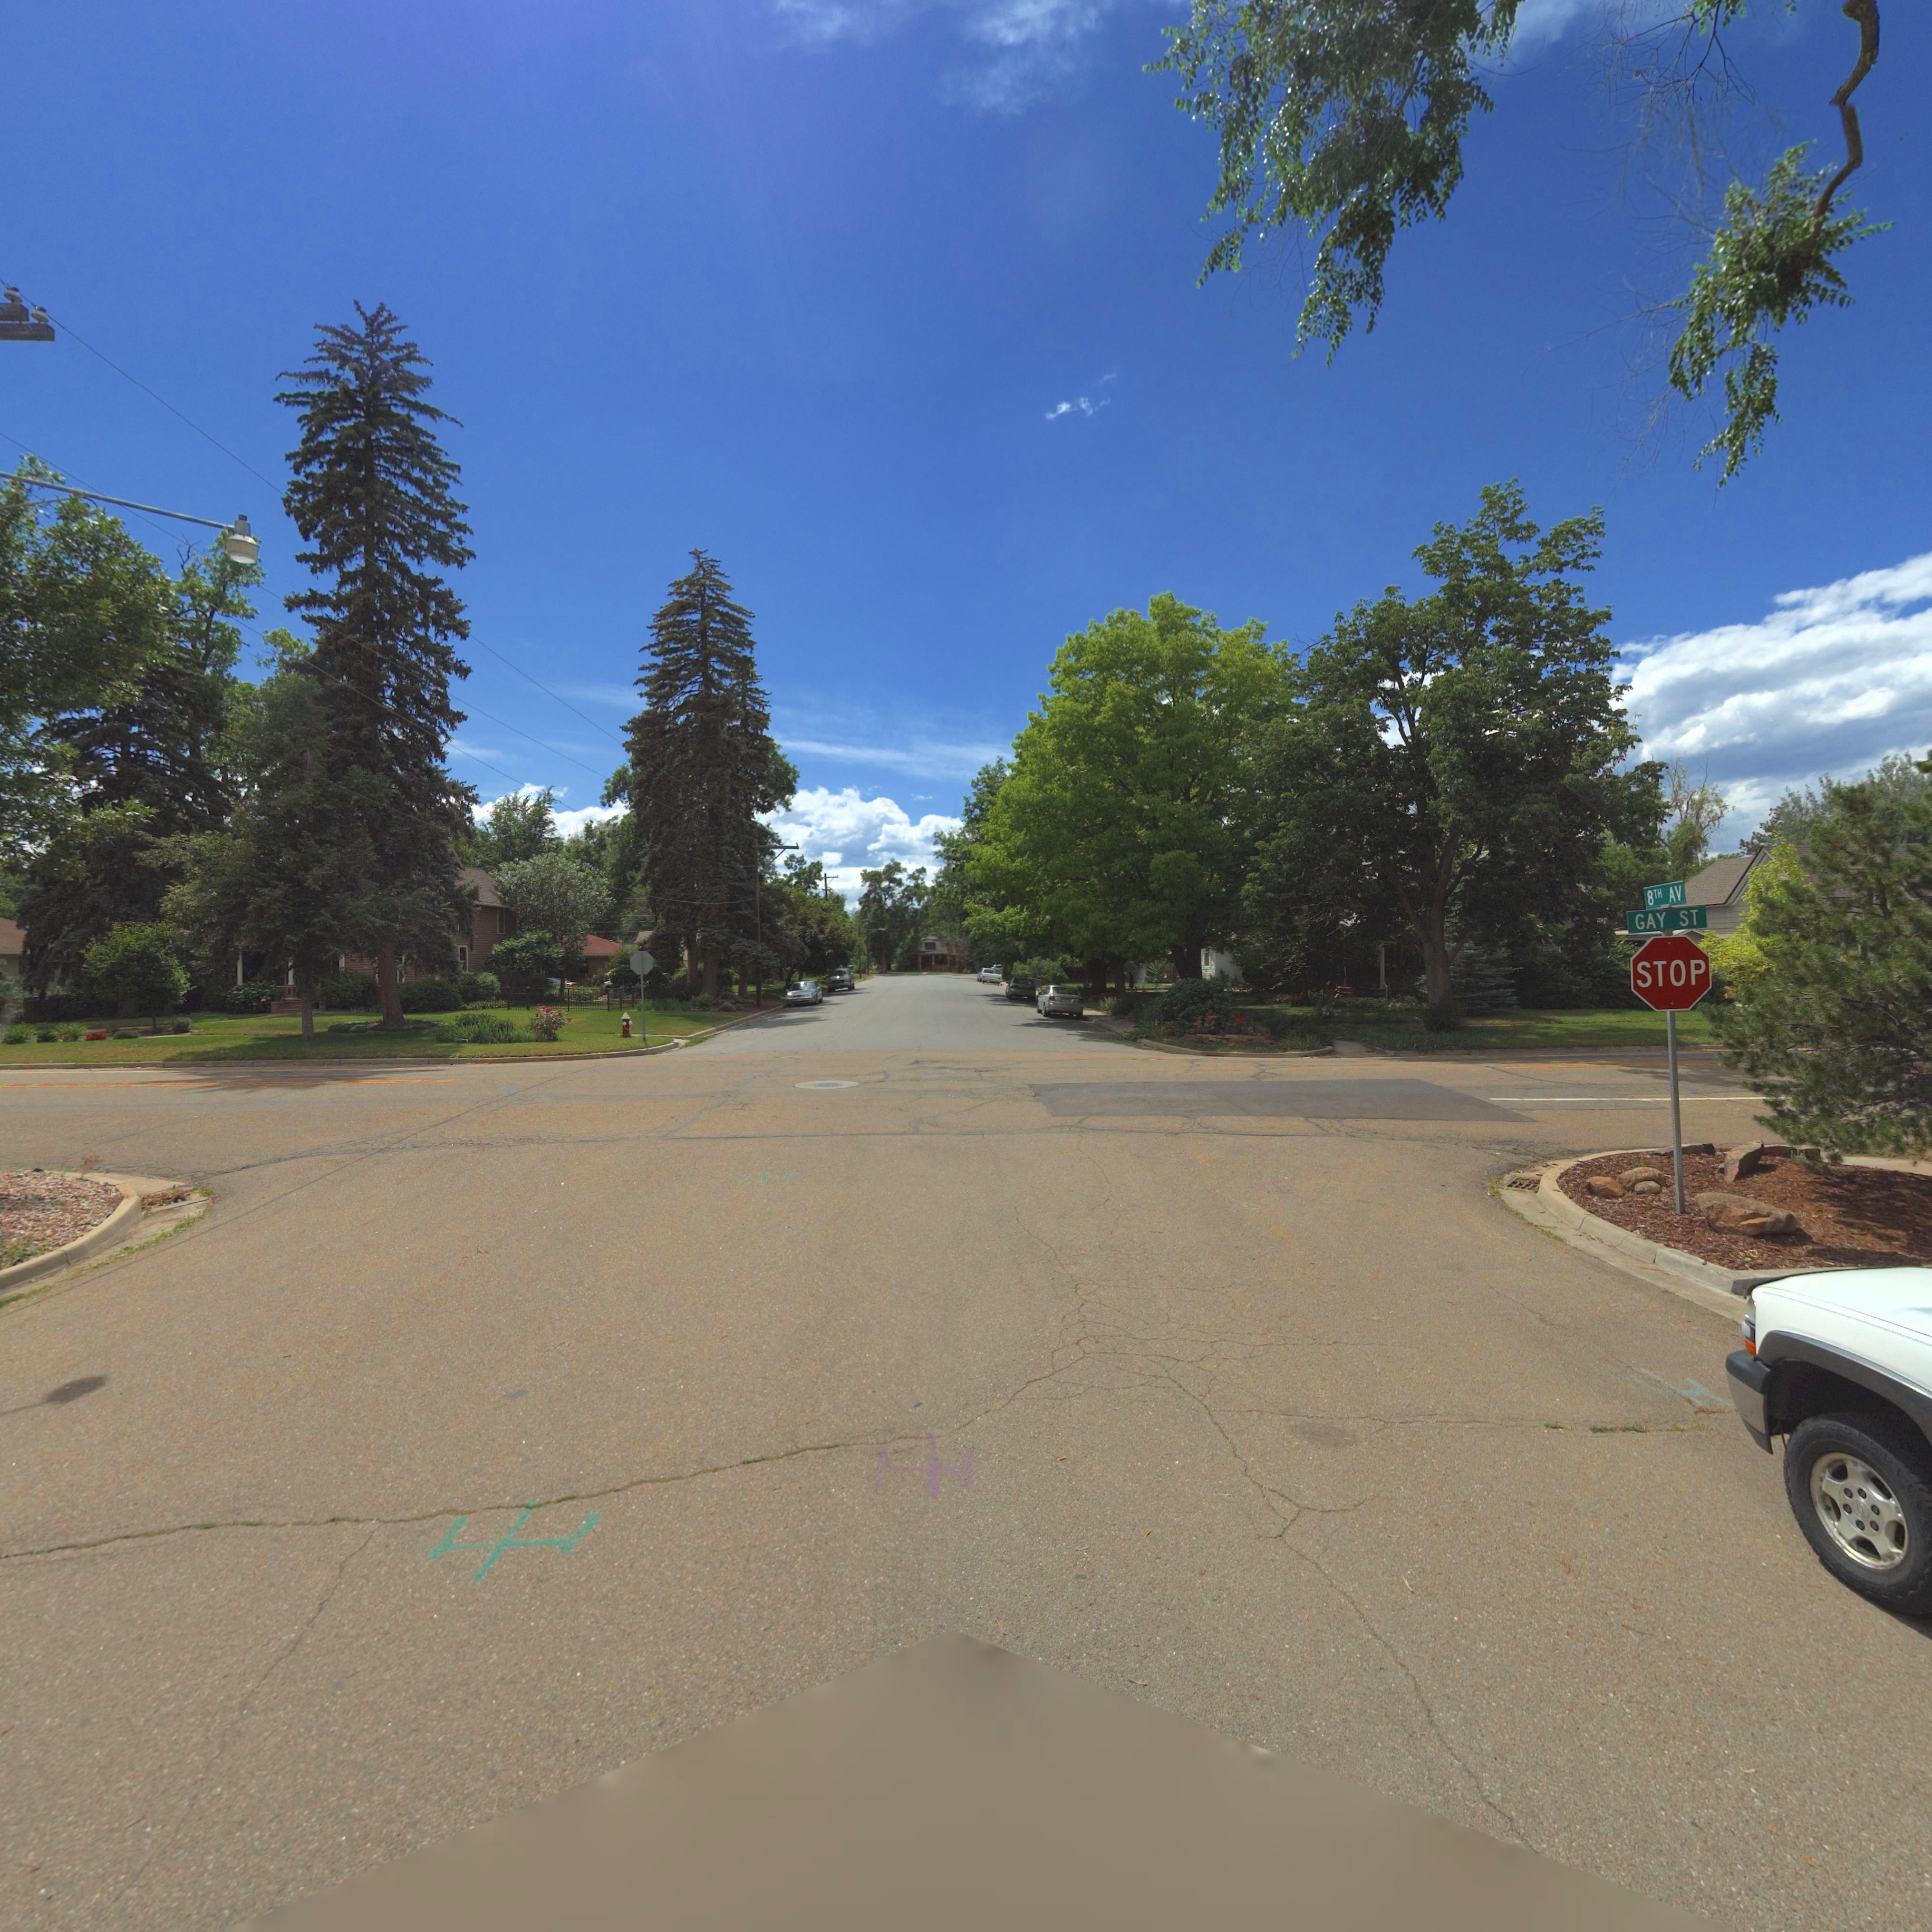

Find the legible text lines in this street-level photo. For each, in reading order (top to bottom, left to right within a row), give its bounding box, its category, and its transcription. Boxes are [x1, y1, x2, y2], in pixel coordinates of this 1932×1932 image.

[1645, 884, 1681, 907] StreetName: 8TH AV
[1633, 908, 1698, 930] StreetName: GAY ST